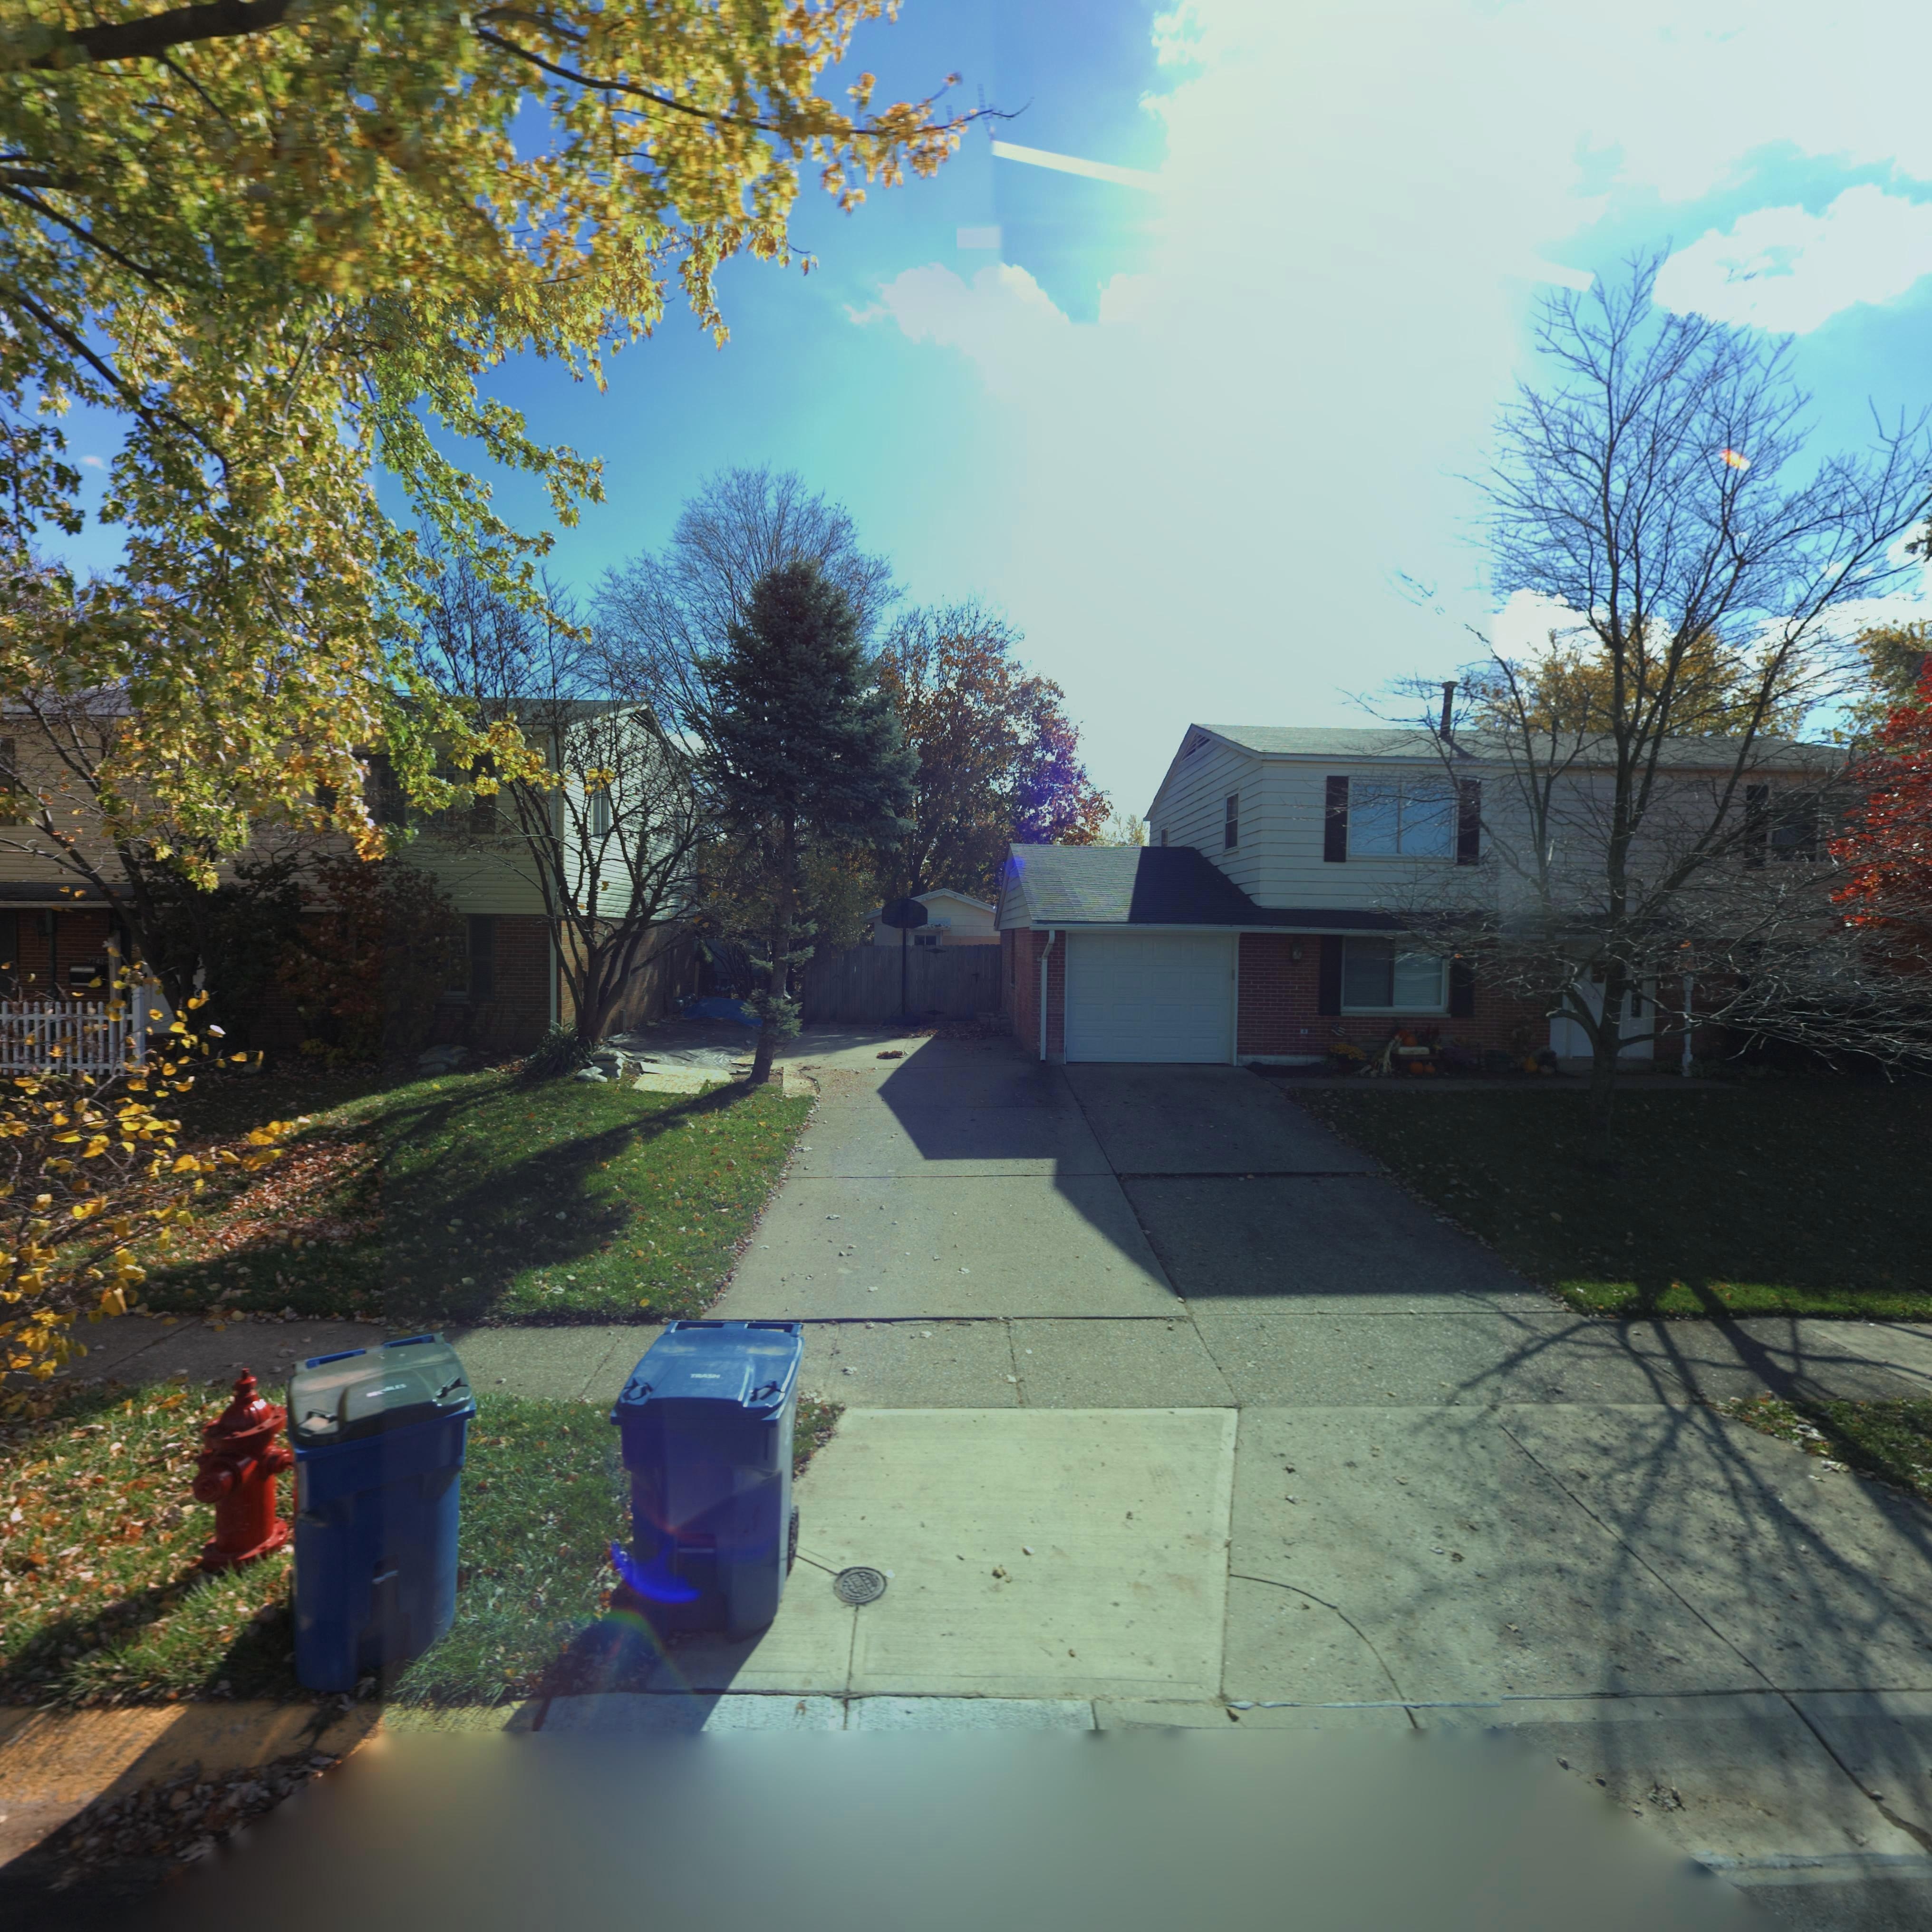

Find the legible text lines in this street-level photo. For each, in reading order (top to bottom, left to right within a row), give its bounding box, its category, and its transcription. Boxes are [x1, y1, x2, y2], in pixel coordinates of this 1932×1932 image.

[87, 957, 104, 965] StreetNumber: 7742